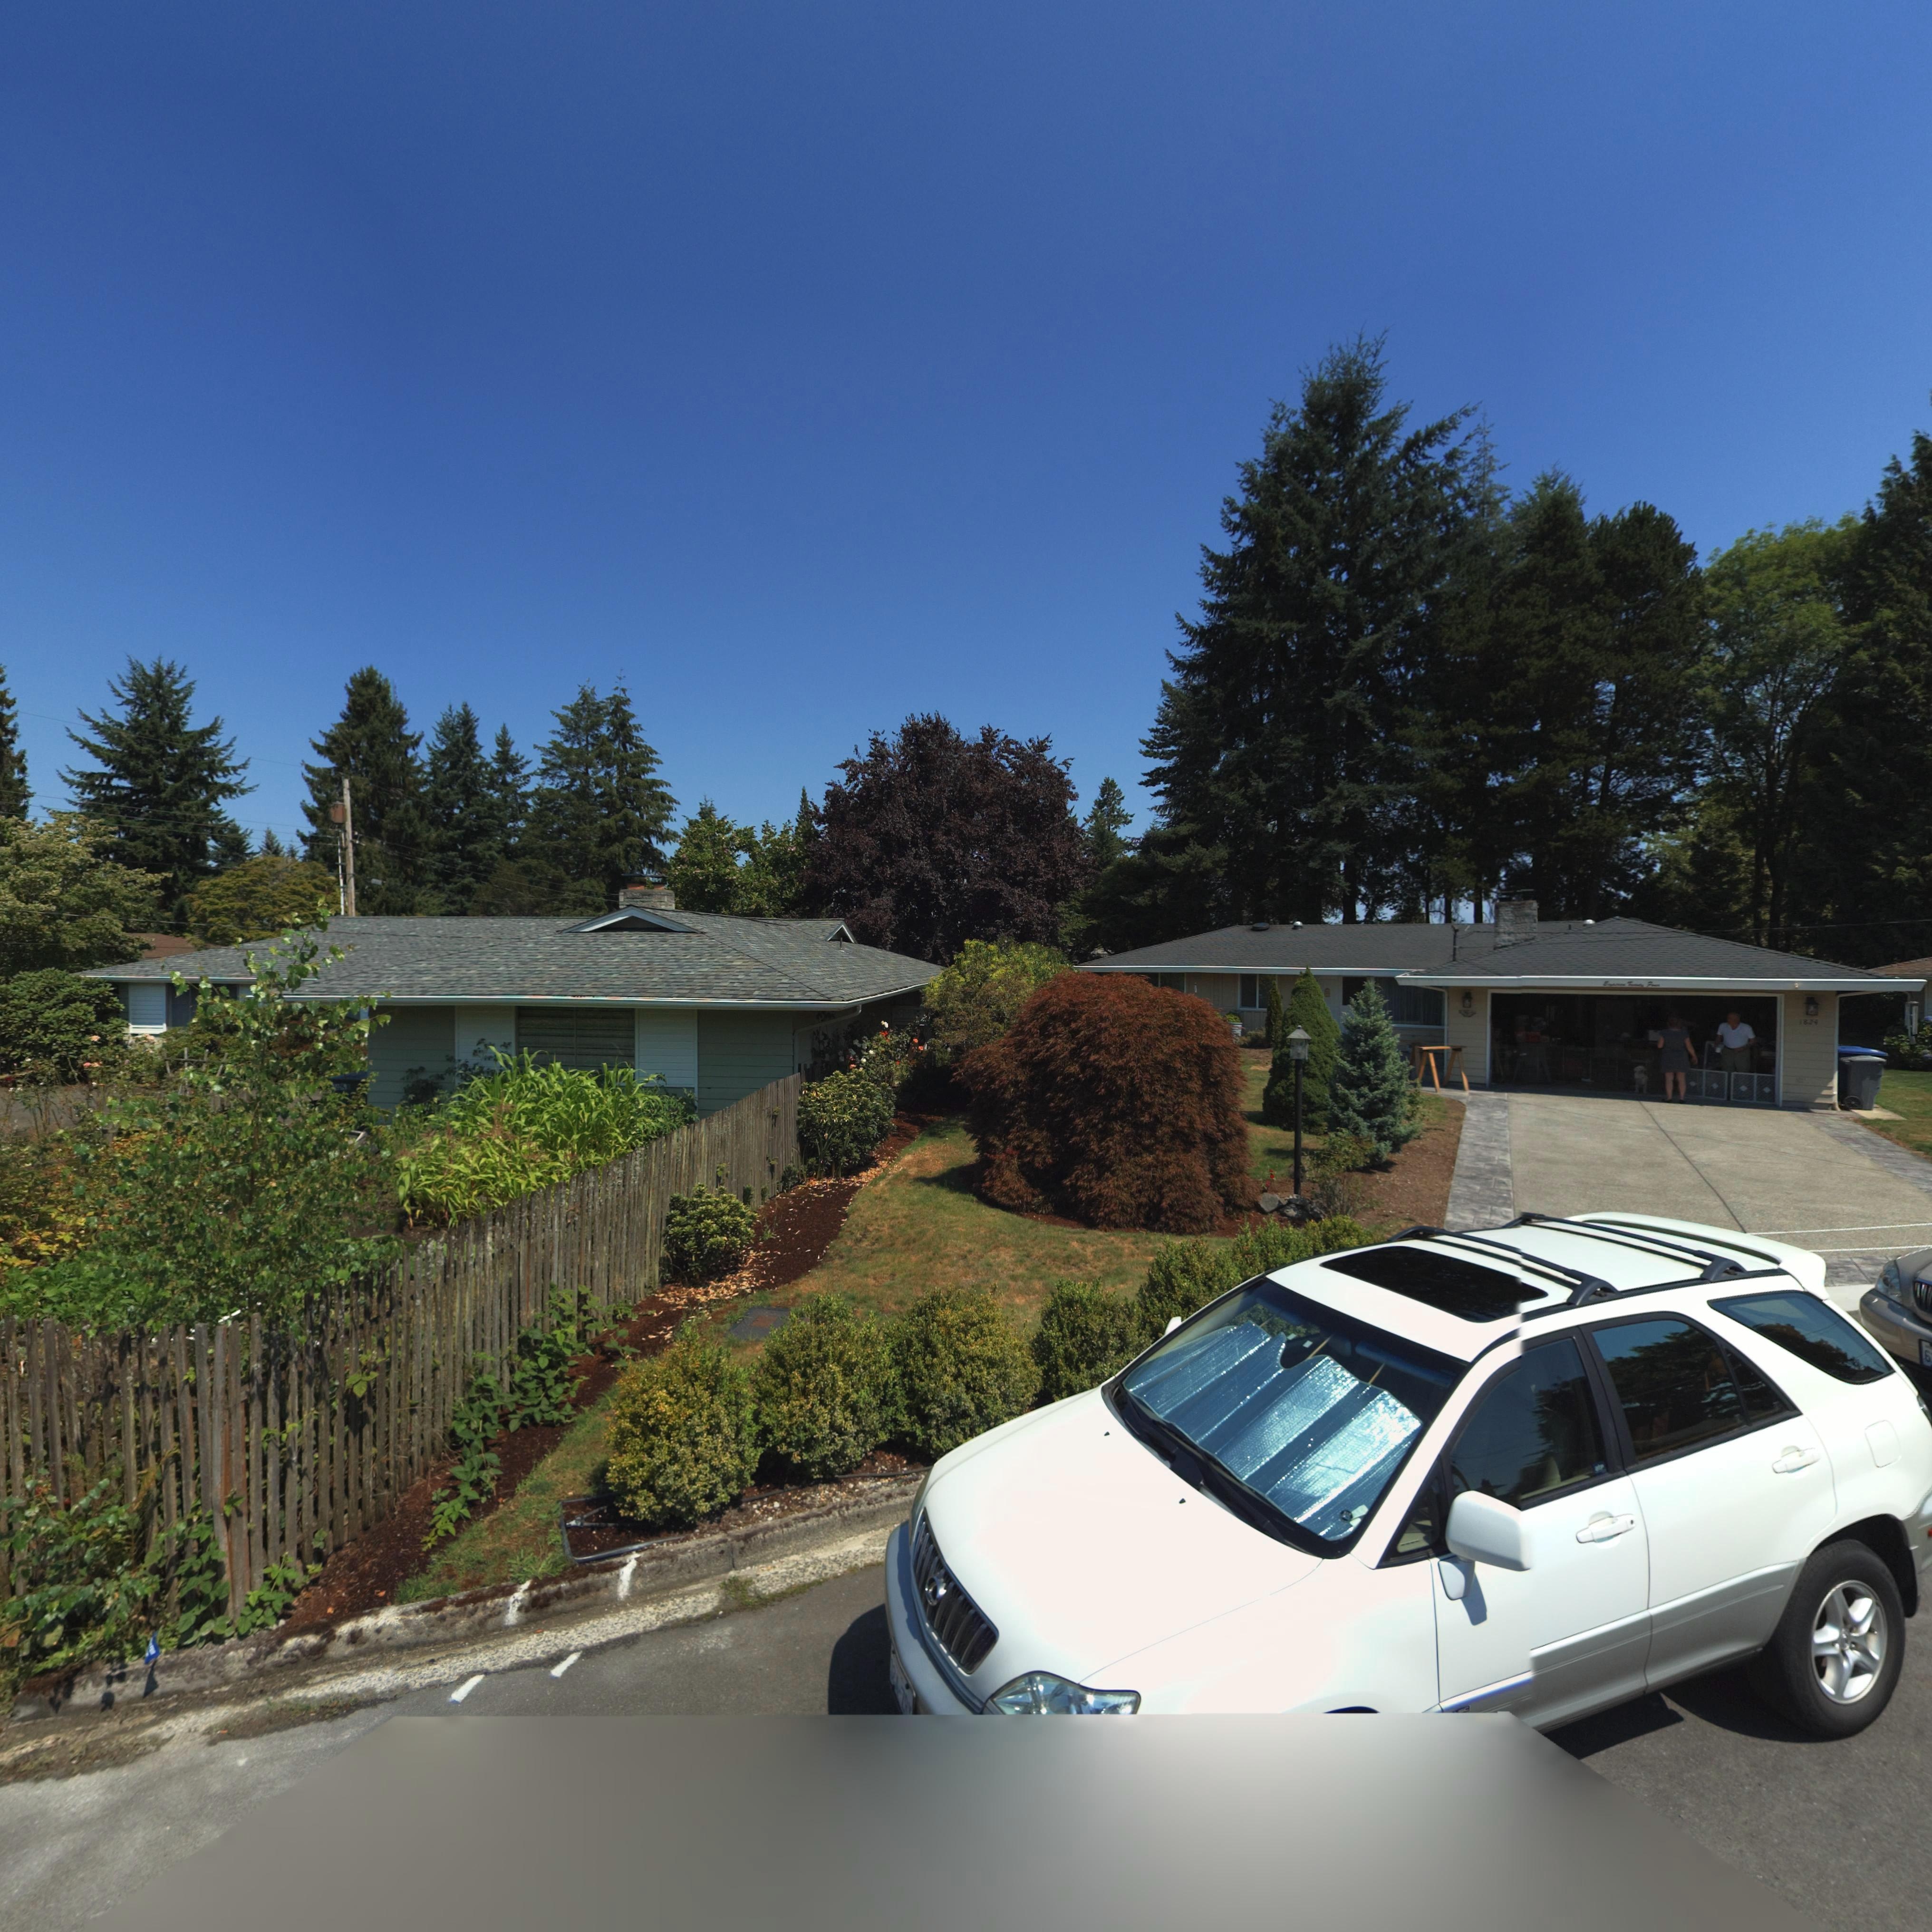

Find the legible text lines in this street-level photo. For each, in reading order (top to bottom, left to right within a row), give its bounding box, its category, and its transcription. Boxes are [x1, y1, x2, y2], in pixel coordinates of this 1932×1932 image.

[1799, 1019, 1818, 1025] StreetNumber: 1824